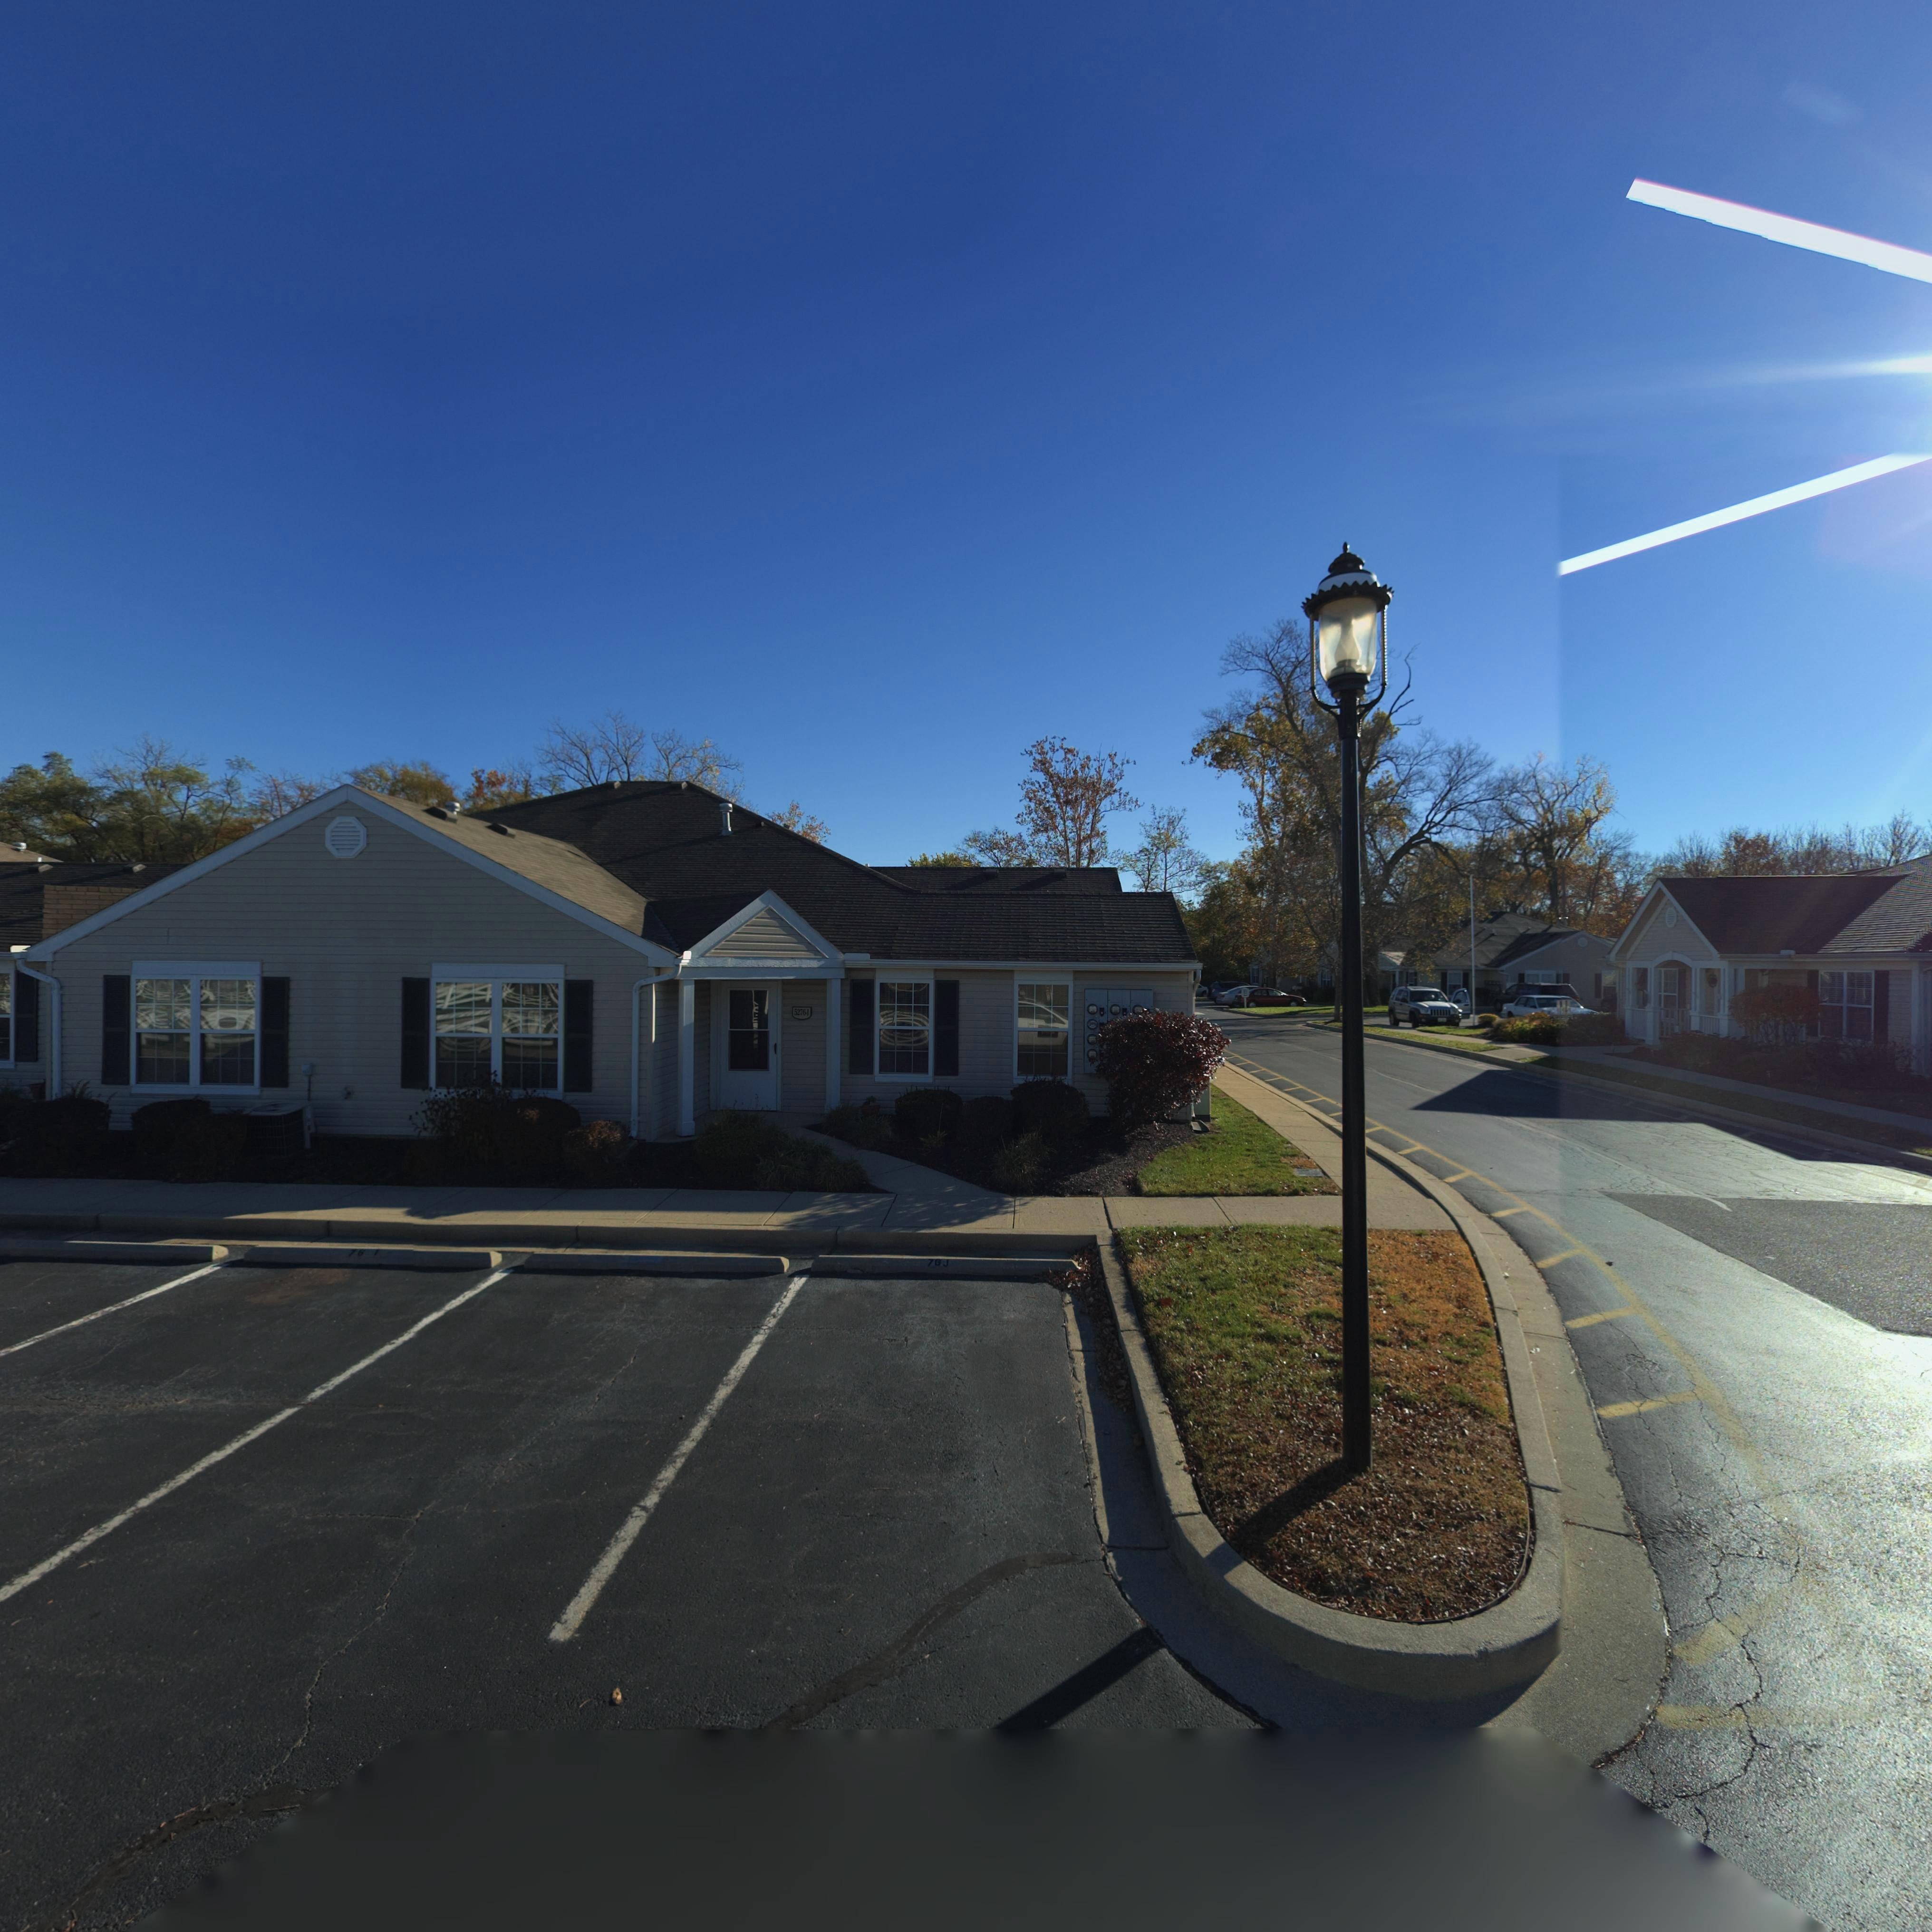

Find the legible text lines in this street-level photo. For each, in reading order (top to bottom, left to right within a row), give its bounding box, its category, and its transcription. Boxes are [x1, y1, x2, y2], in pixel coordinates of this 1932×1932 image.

[793, 1008, 810, 1016] StreetNumber: 5276**